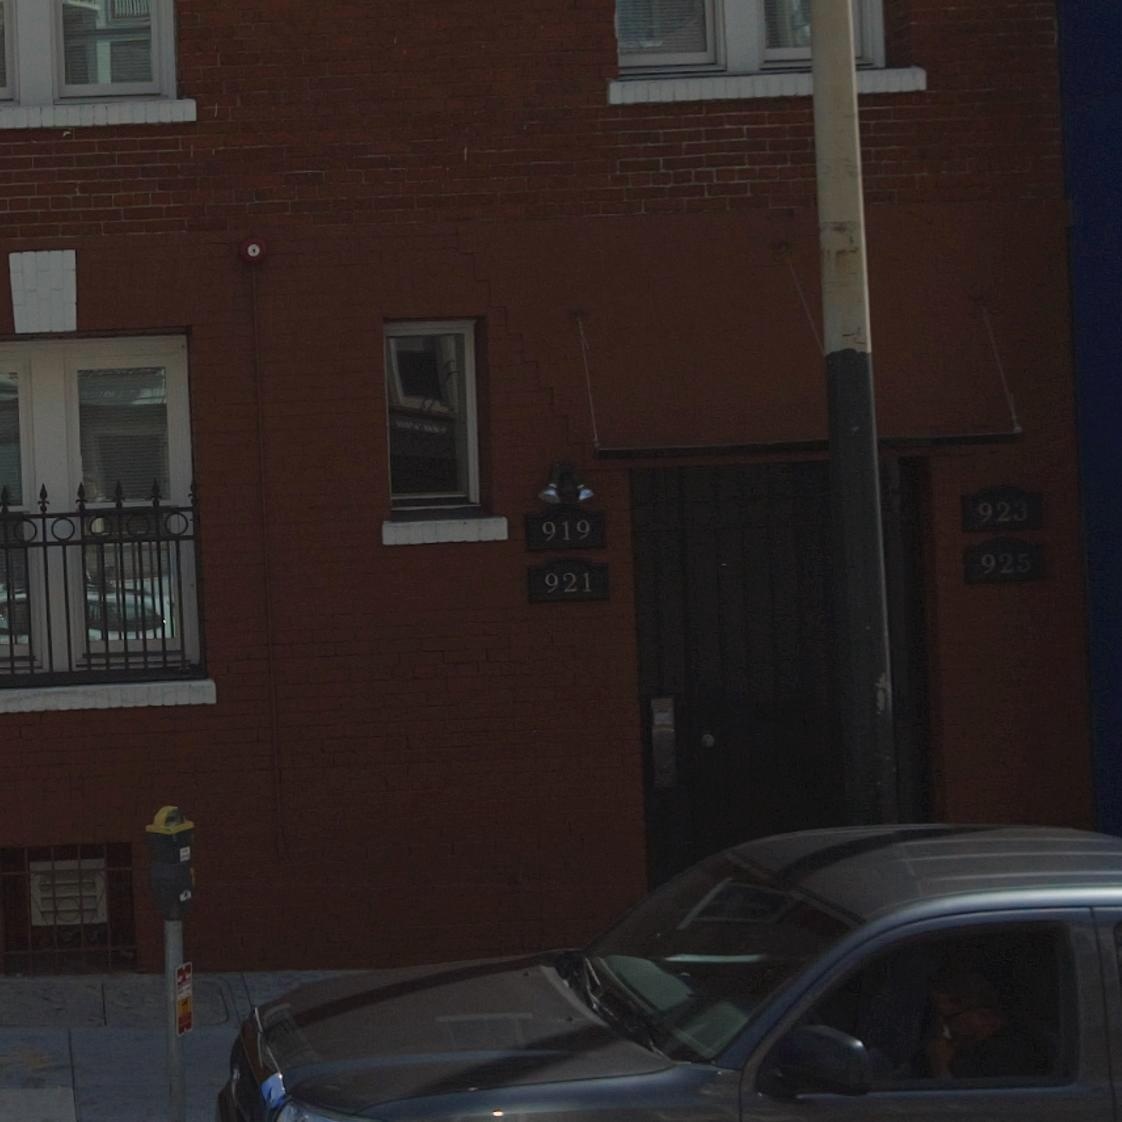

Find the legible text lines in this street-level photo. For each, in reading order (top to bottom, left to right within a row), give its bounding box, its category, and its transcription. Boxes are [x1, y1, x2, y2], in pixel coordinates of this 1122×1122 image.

[976, 500, 1027, 523] StreetNumber: 923
[540, 518, 592, 543] StreetNumber: 919
[980, 552, 1032, 575] StreetNumber: 925
[543, 570, 594, 596] StreetNumber: 921